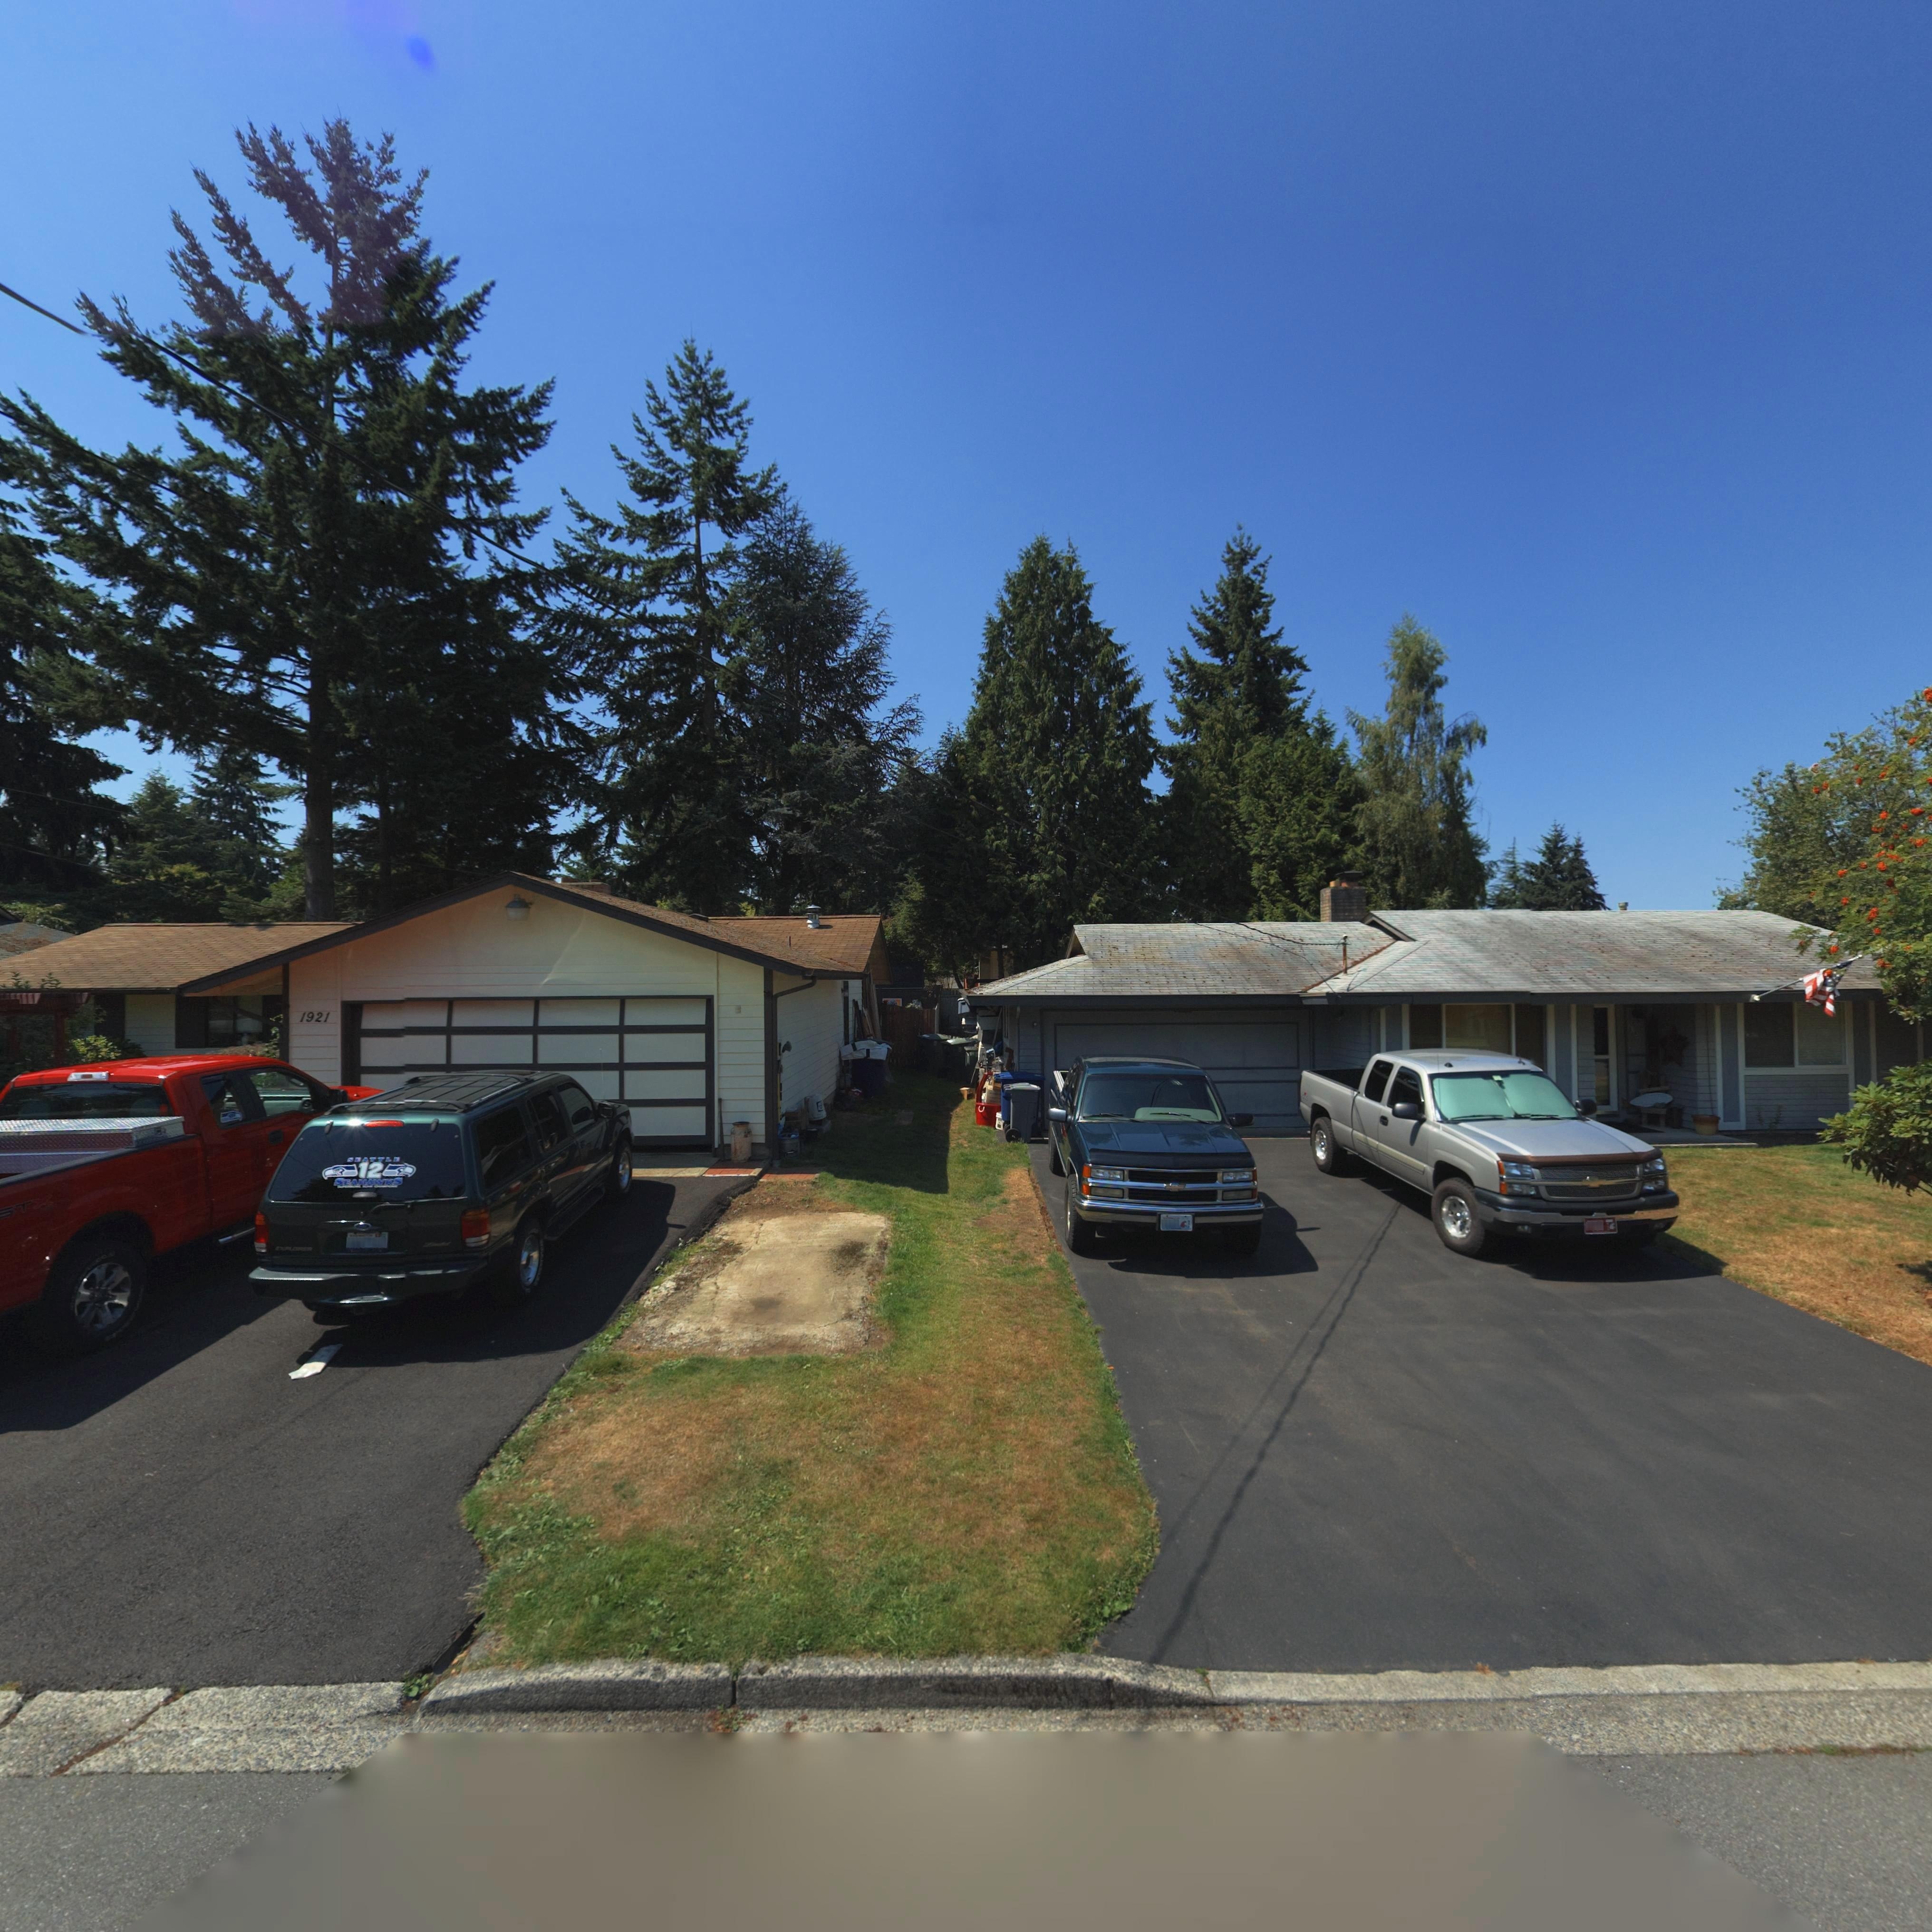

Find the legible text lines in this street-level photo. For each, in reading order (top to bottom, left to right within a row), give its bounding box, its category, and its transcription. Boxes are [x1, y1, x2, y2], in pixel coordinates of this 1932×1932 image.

[299, 1012, 330, 1023] StreetNumber: 1921